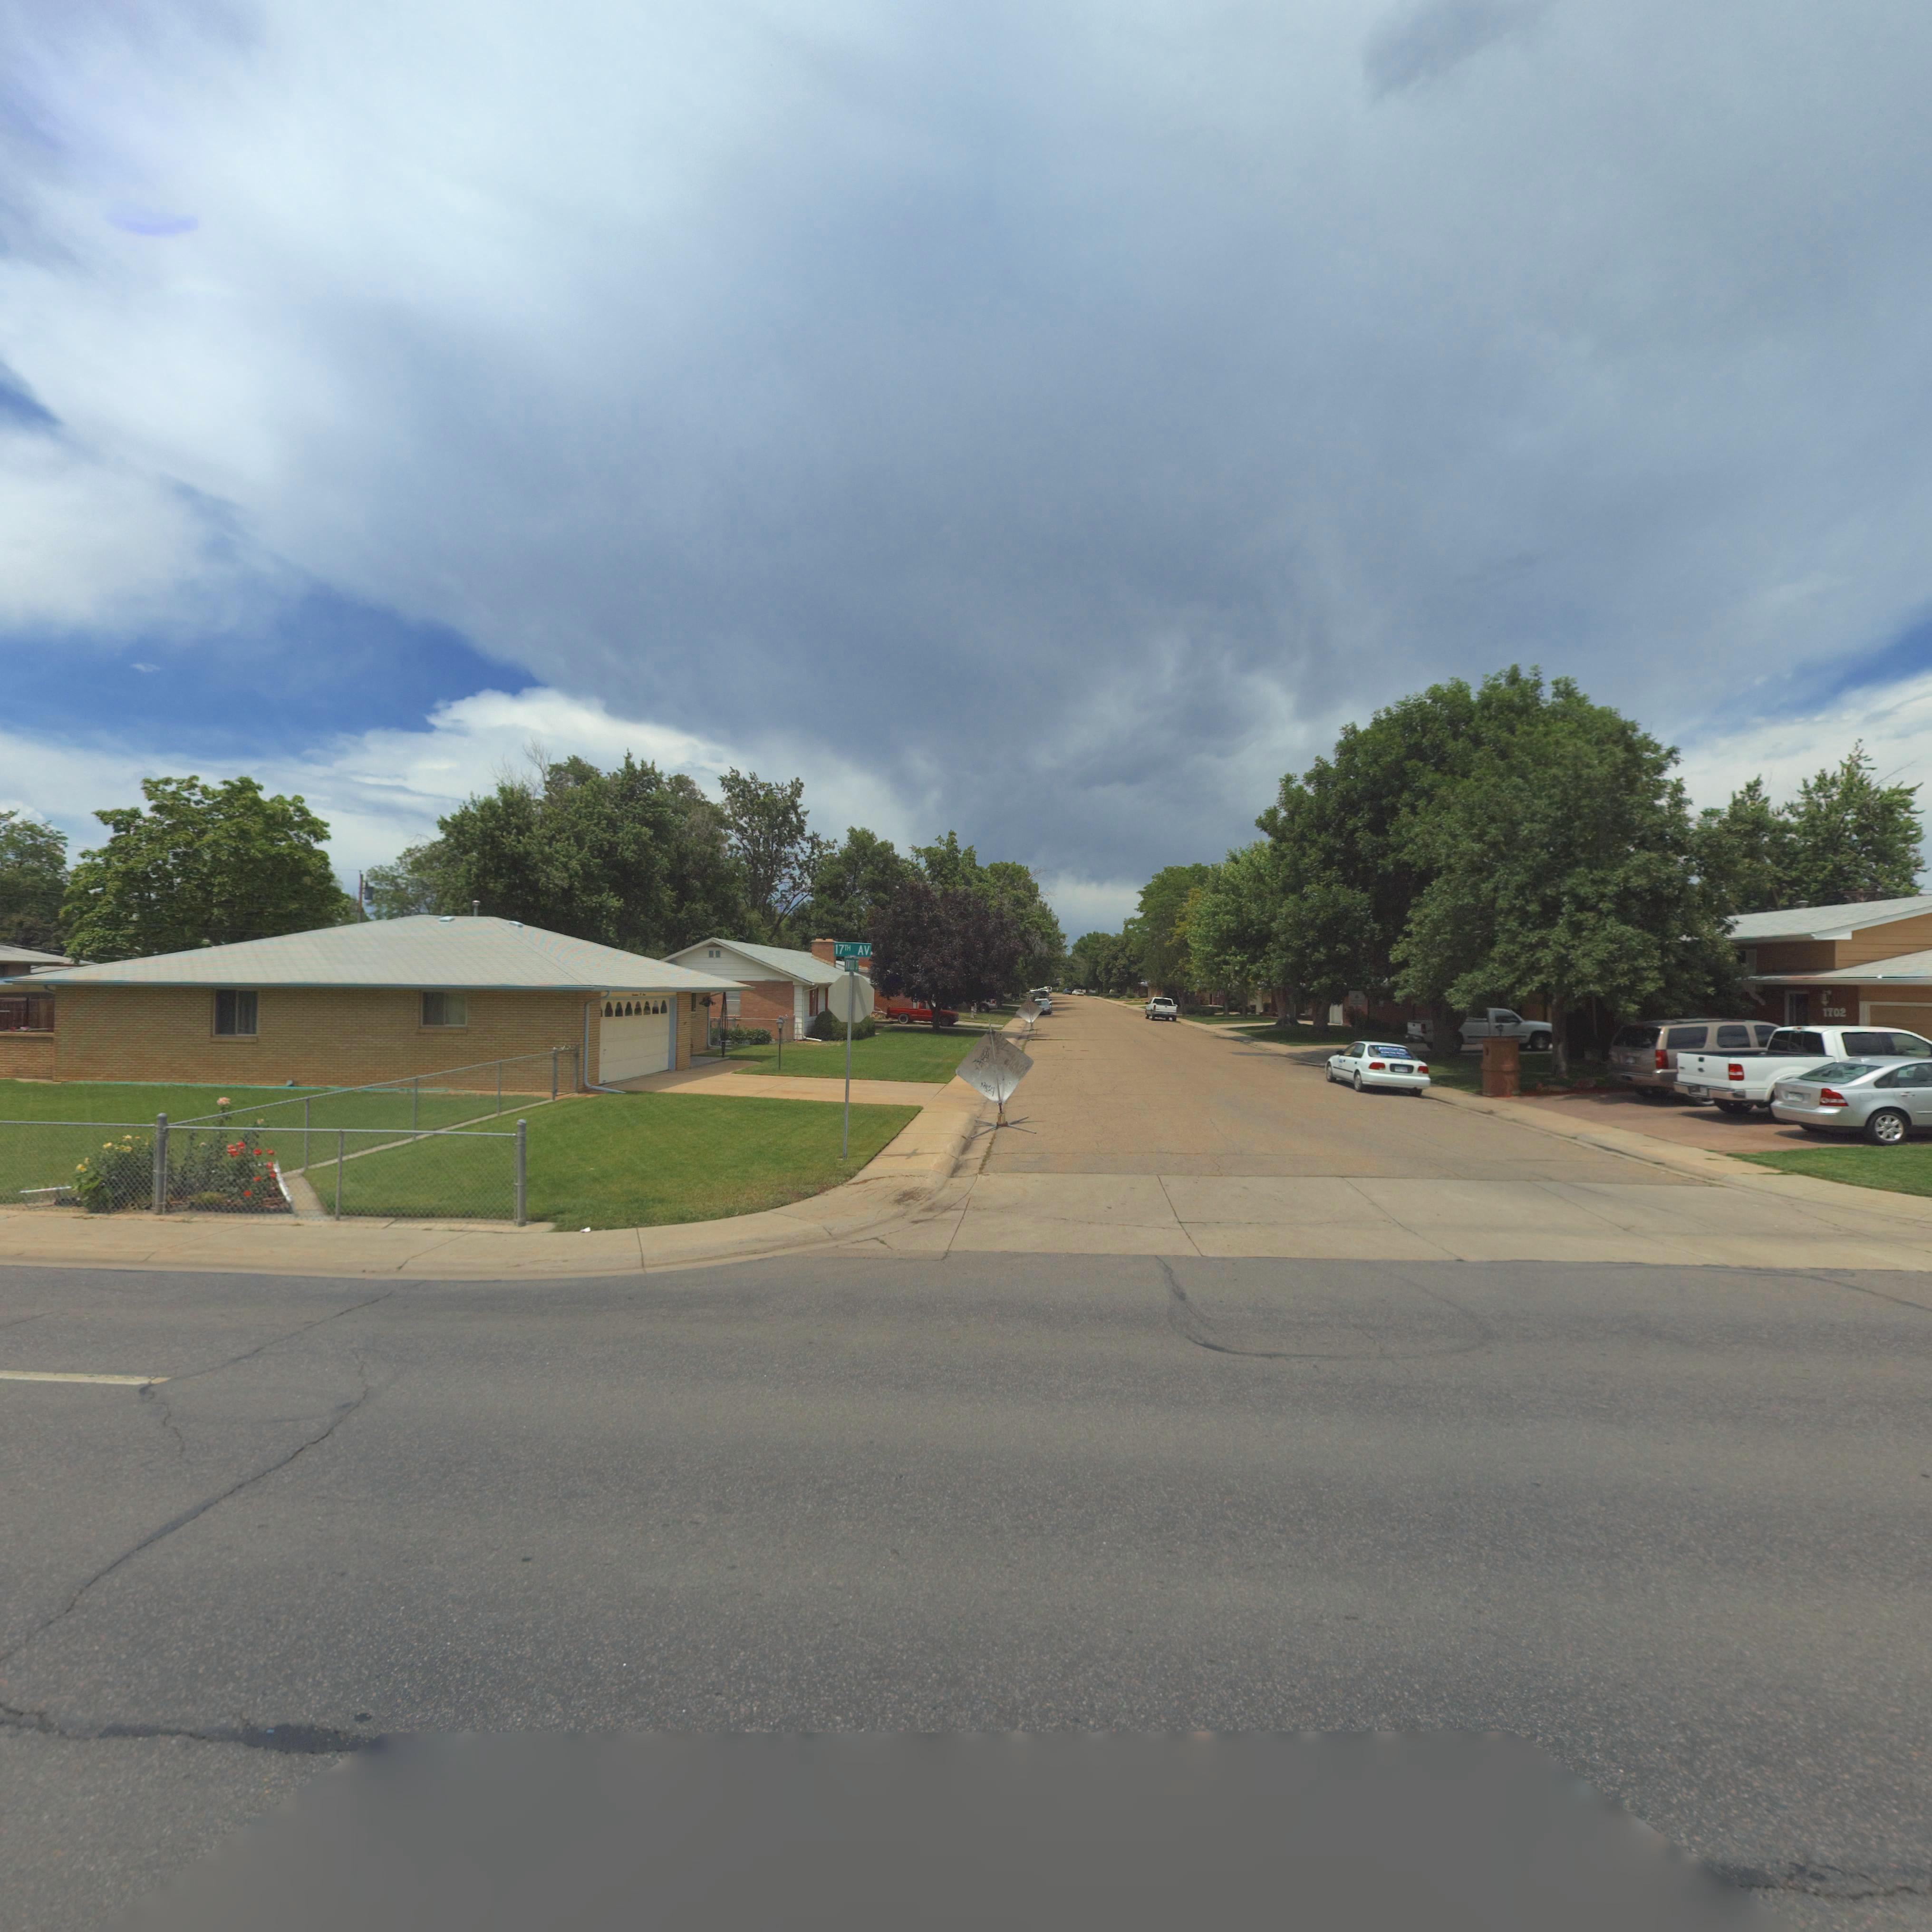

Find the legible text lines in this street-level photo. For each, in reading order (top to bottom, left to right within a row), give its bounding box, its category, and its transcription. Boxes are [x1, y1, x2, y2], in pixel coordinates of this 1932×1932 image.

[835, 944, 871, 956] StreetName: 17TH AV
[845, 959, 859, 970] StreetName: ****OD ST
[1822, 1008, 1846, 1017] StreetNumber: 1702